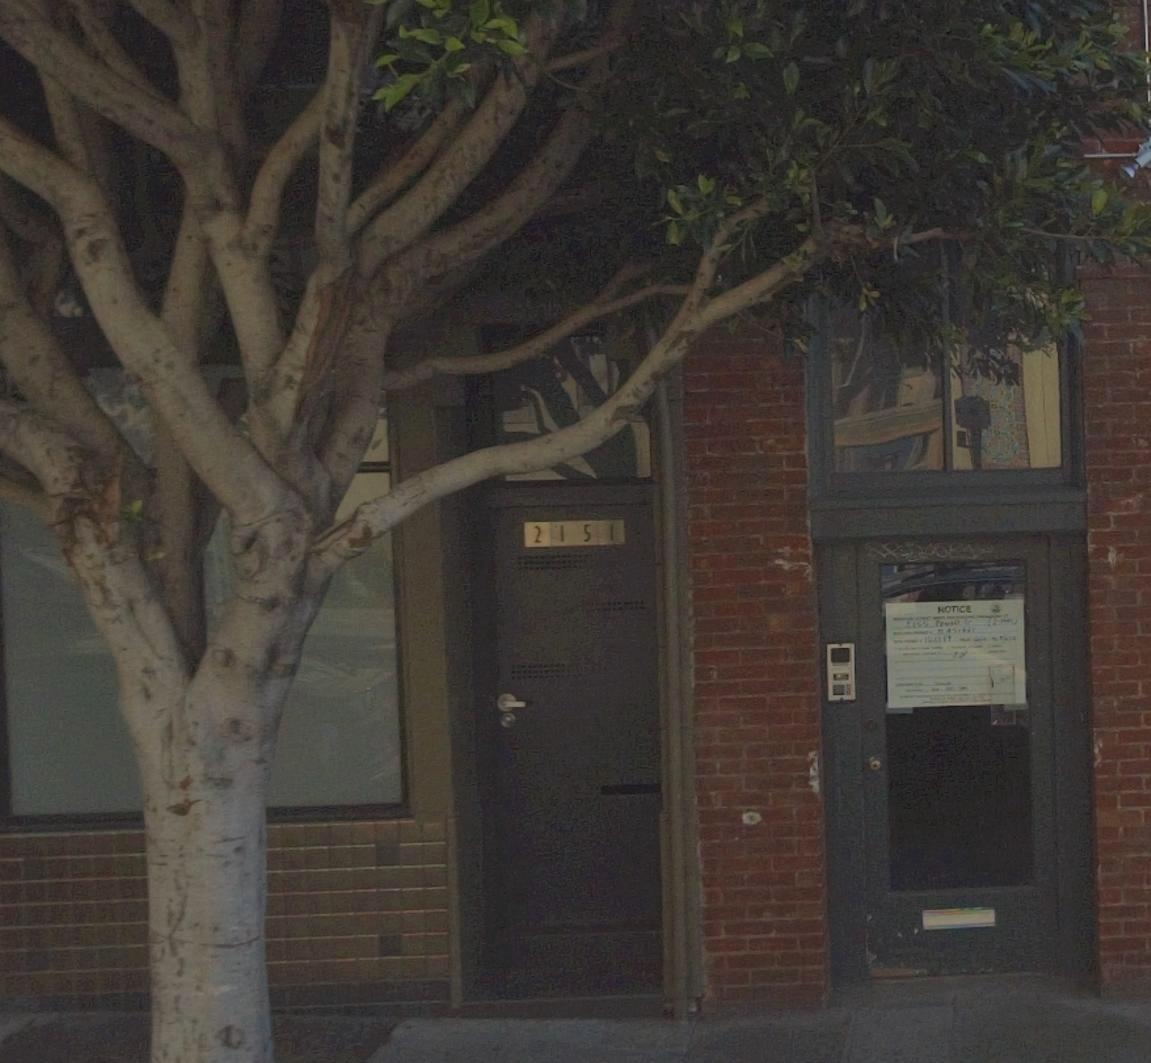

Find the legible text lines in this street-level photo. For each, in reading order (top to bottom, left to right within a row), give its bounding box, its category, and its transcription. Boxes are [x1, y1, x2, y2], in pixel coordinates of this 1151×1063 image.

[530, 522, 618, 545] StreetNumber: 2151
[934, 603, 974, 616] None: NOTICE